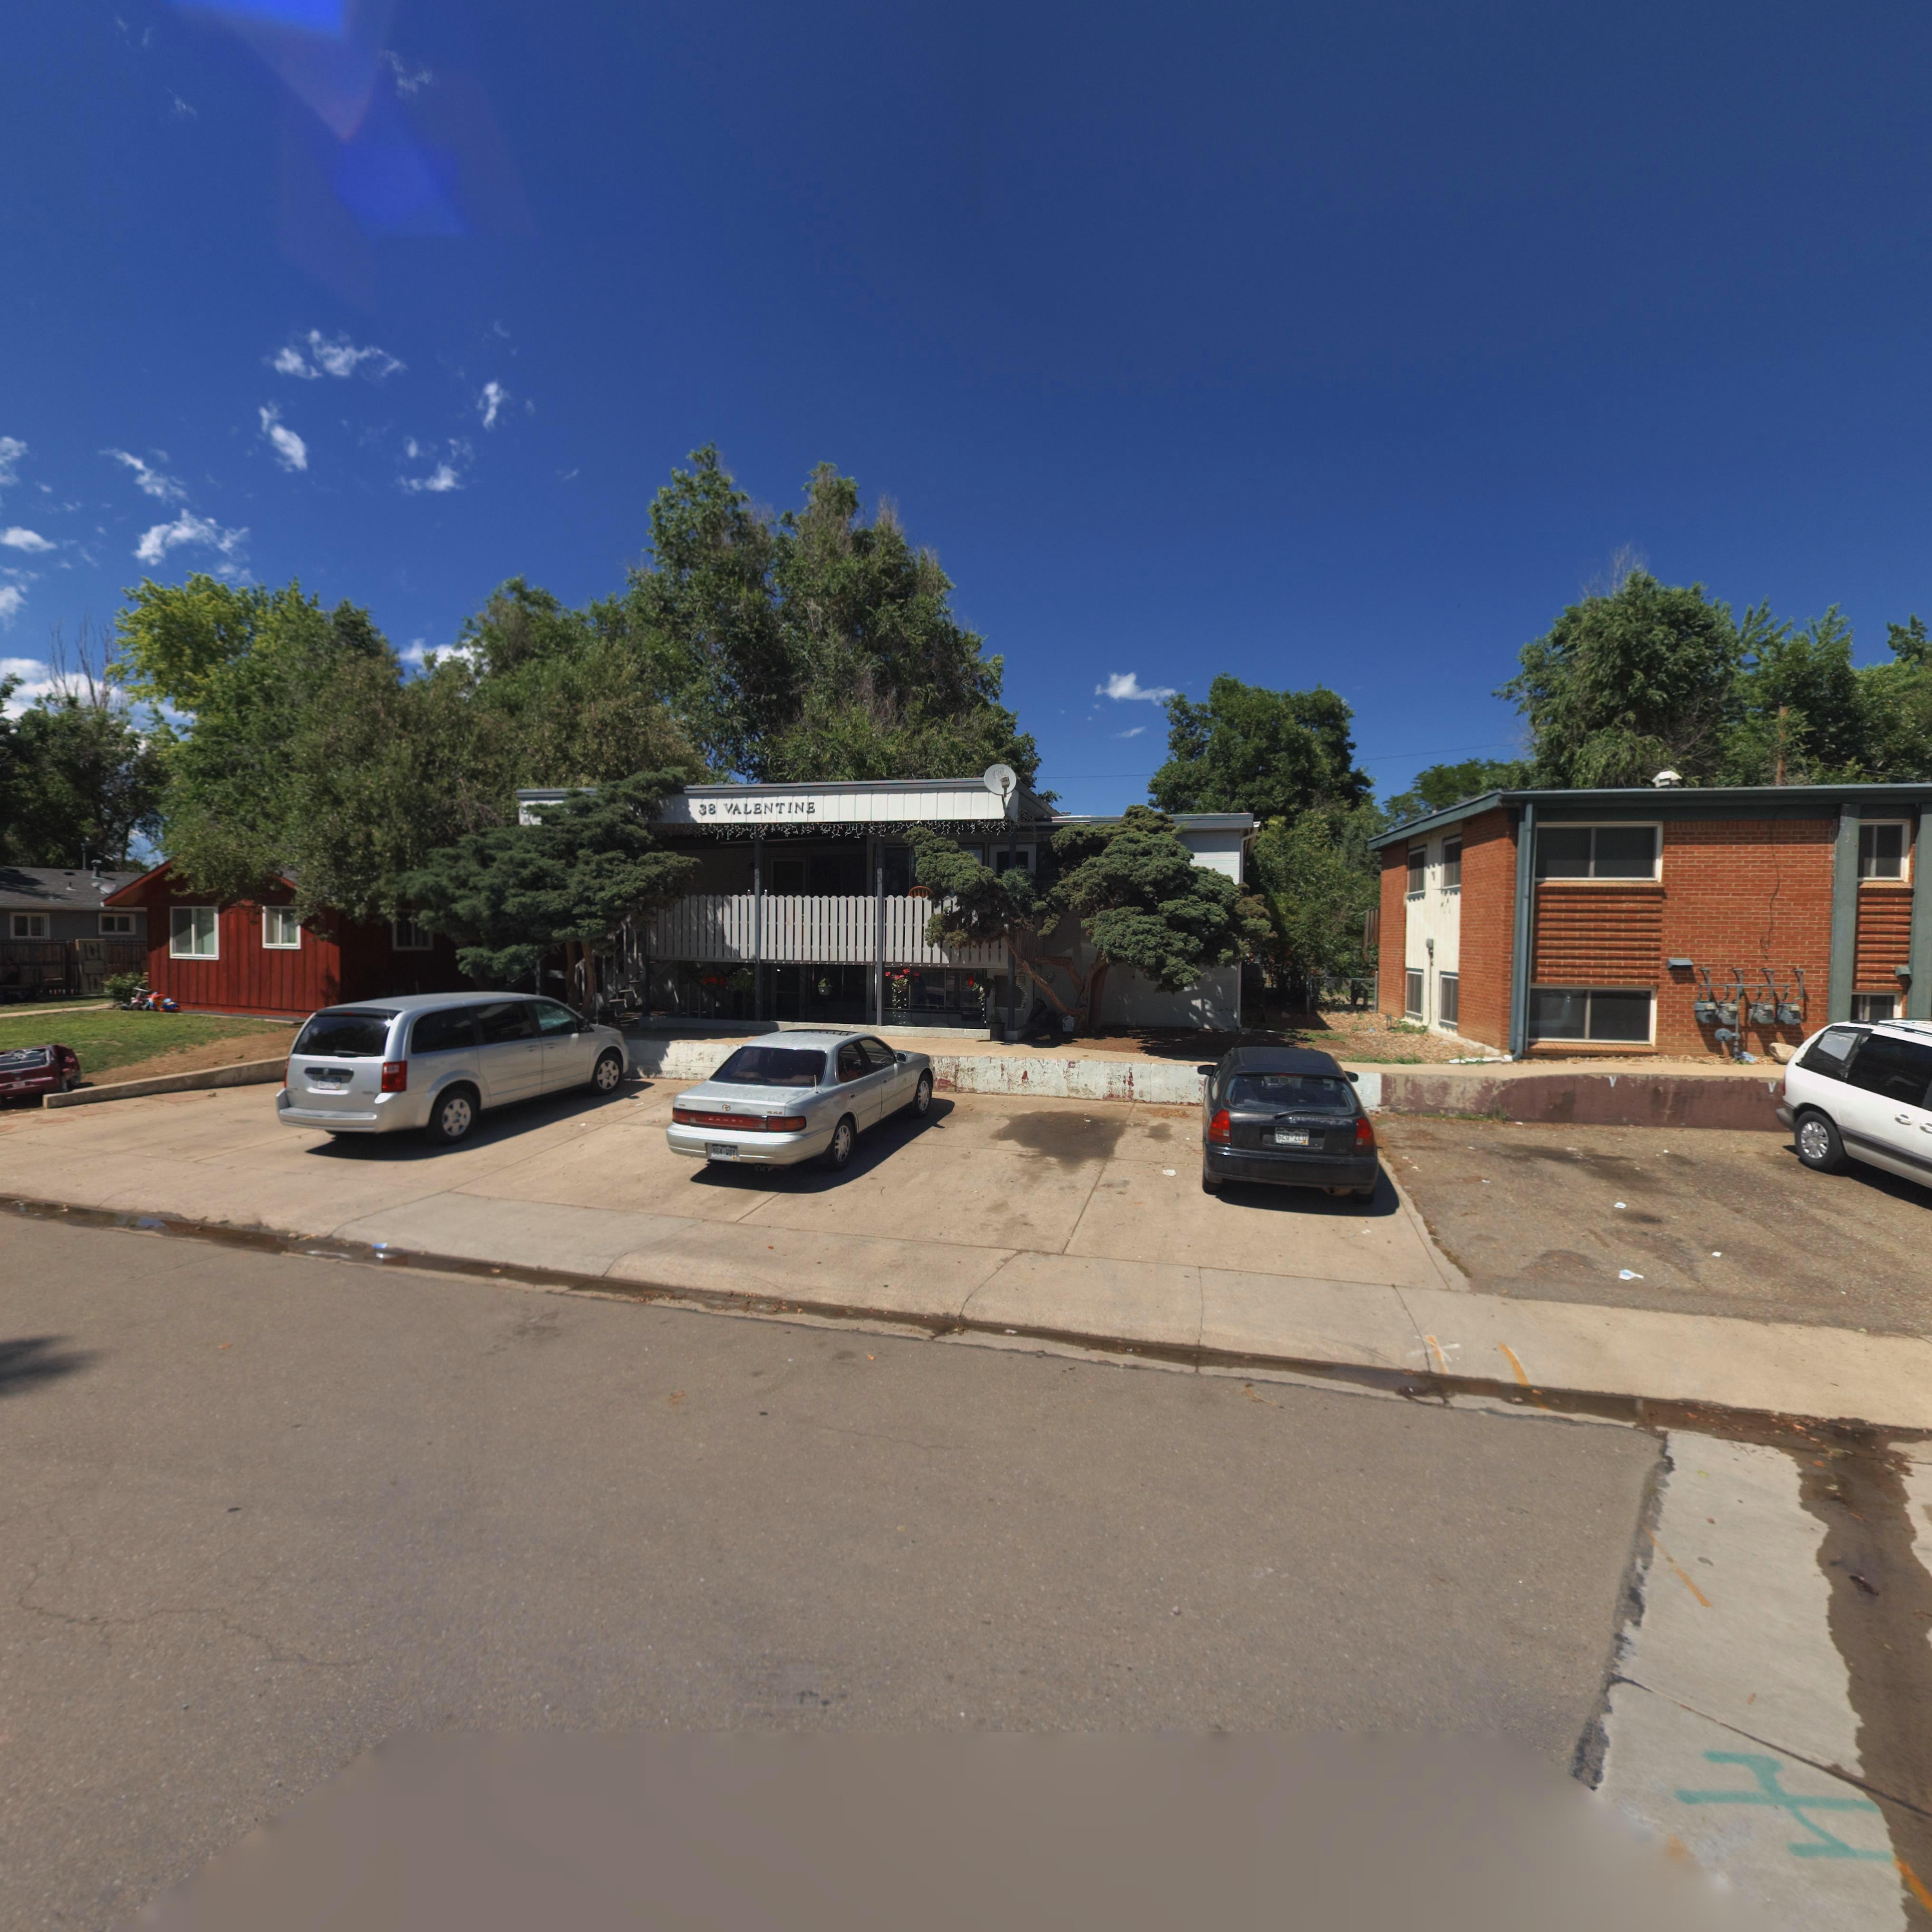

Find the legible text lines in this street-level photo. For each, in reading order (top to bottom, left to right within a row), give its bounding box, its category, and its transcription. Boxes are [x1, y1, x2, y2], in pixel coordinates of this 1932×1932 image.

[698, 802, 716, 815] StreetNumber: 38
[722, 801, 815, 815] StreetName: VALENTINE